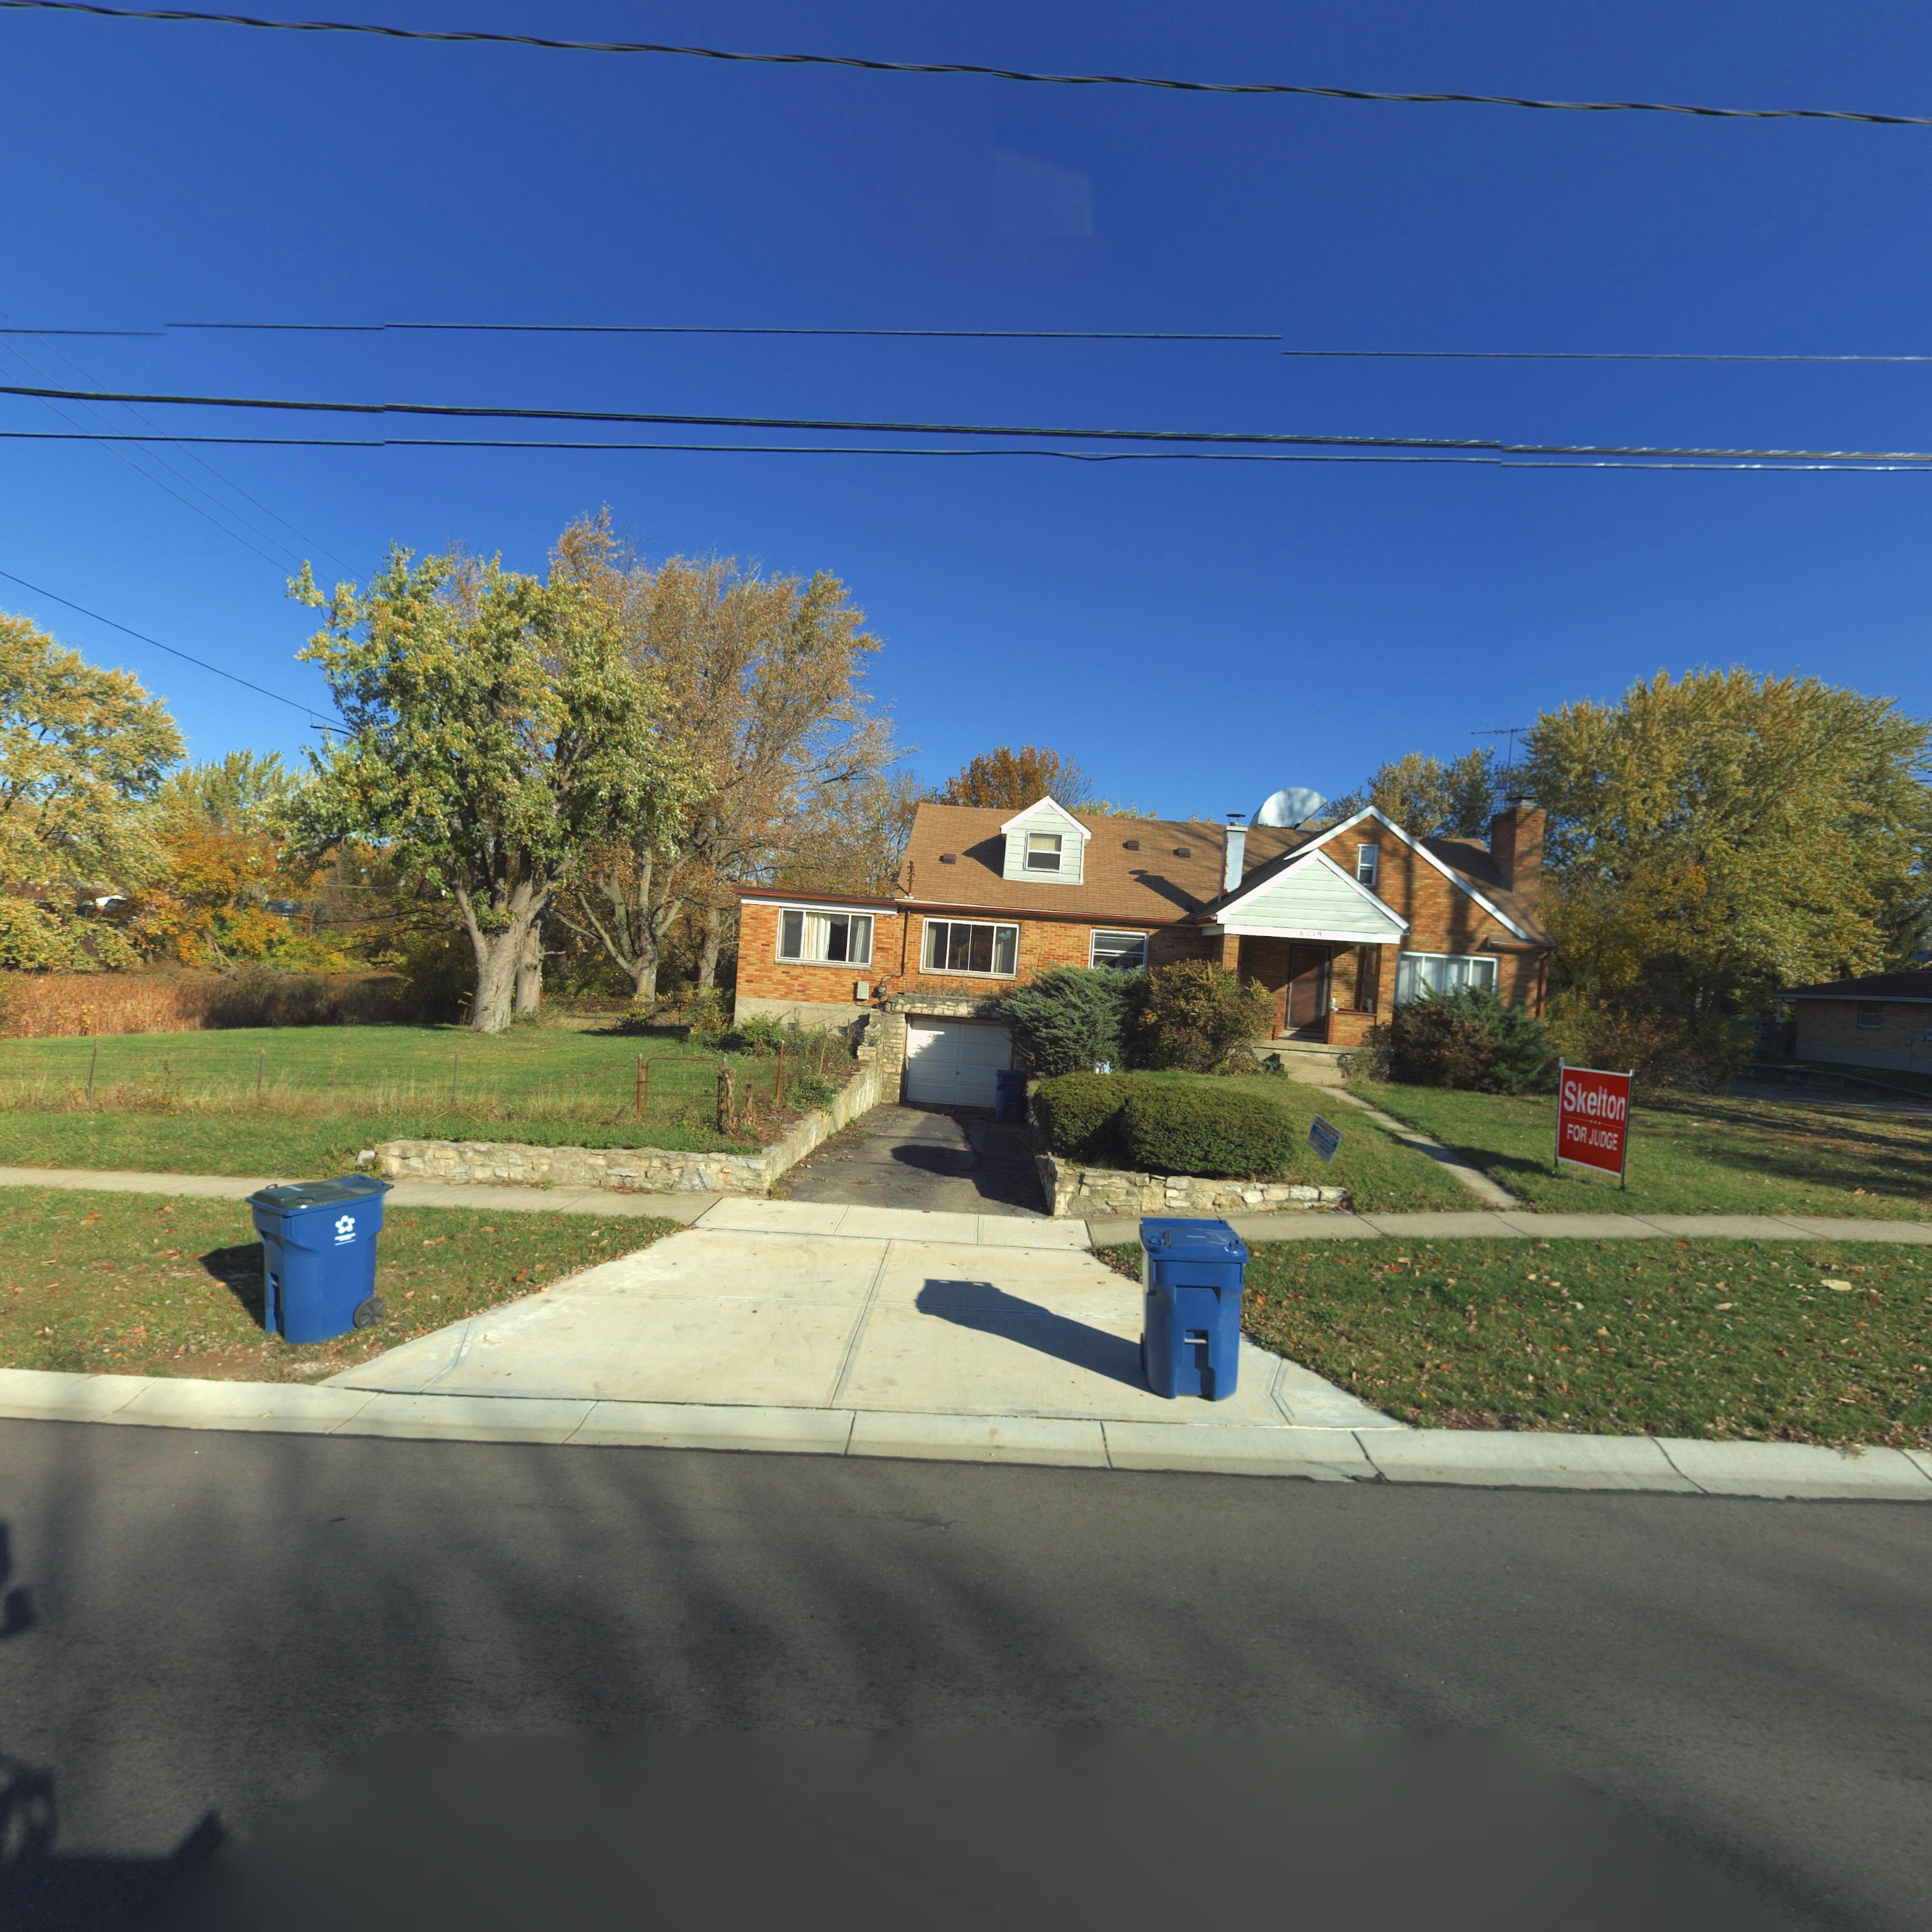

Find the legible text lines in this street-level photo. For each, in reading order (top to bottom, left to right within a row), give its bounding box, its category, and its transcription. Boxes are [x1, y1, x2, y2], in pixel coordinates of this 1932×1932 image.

[1298, 929, 1323, 939] StreetNumber: 6719